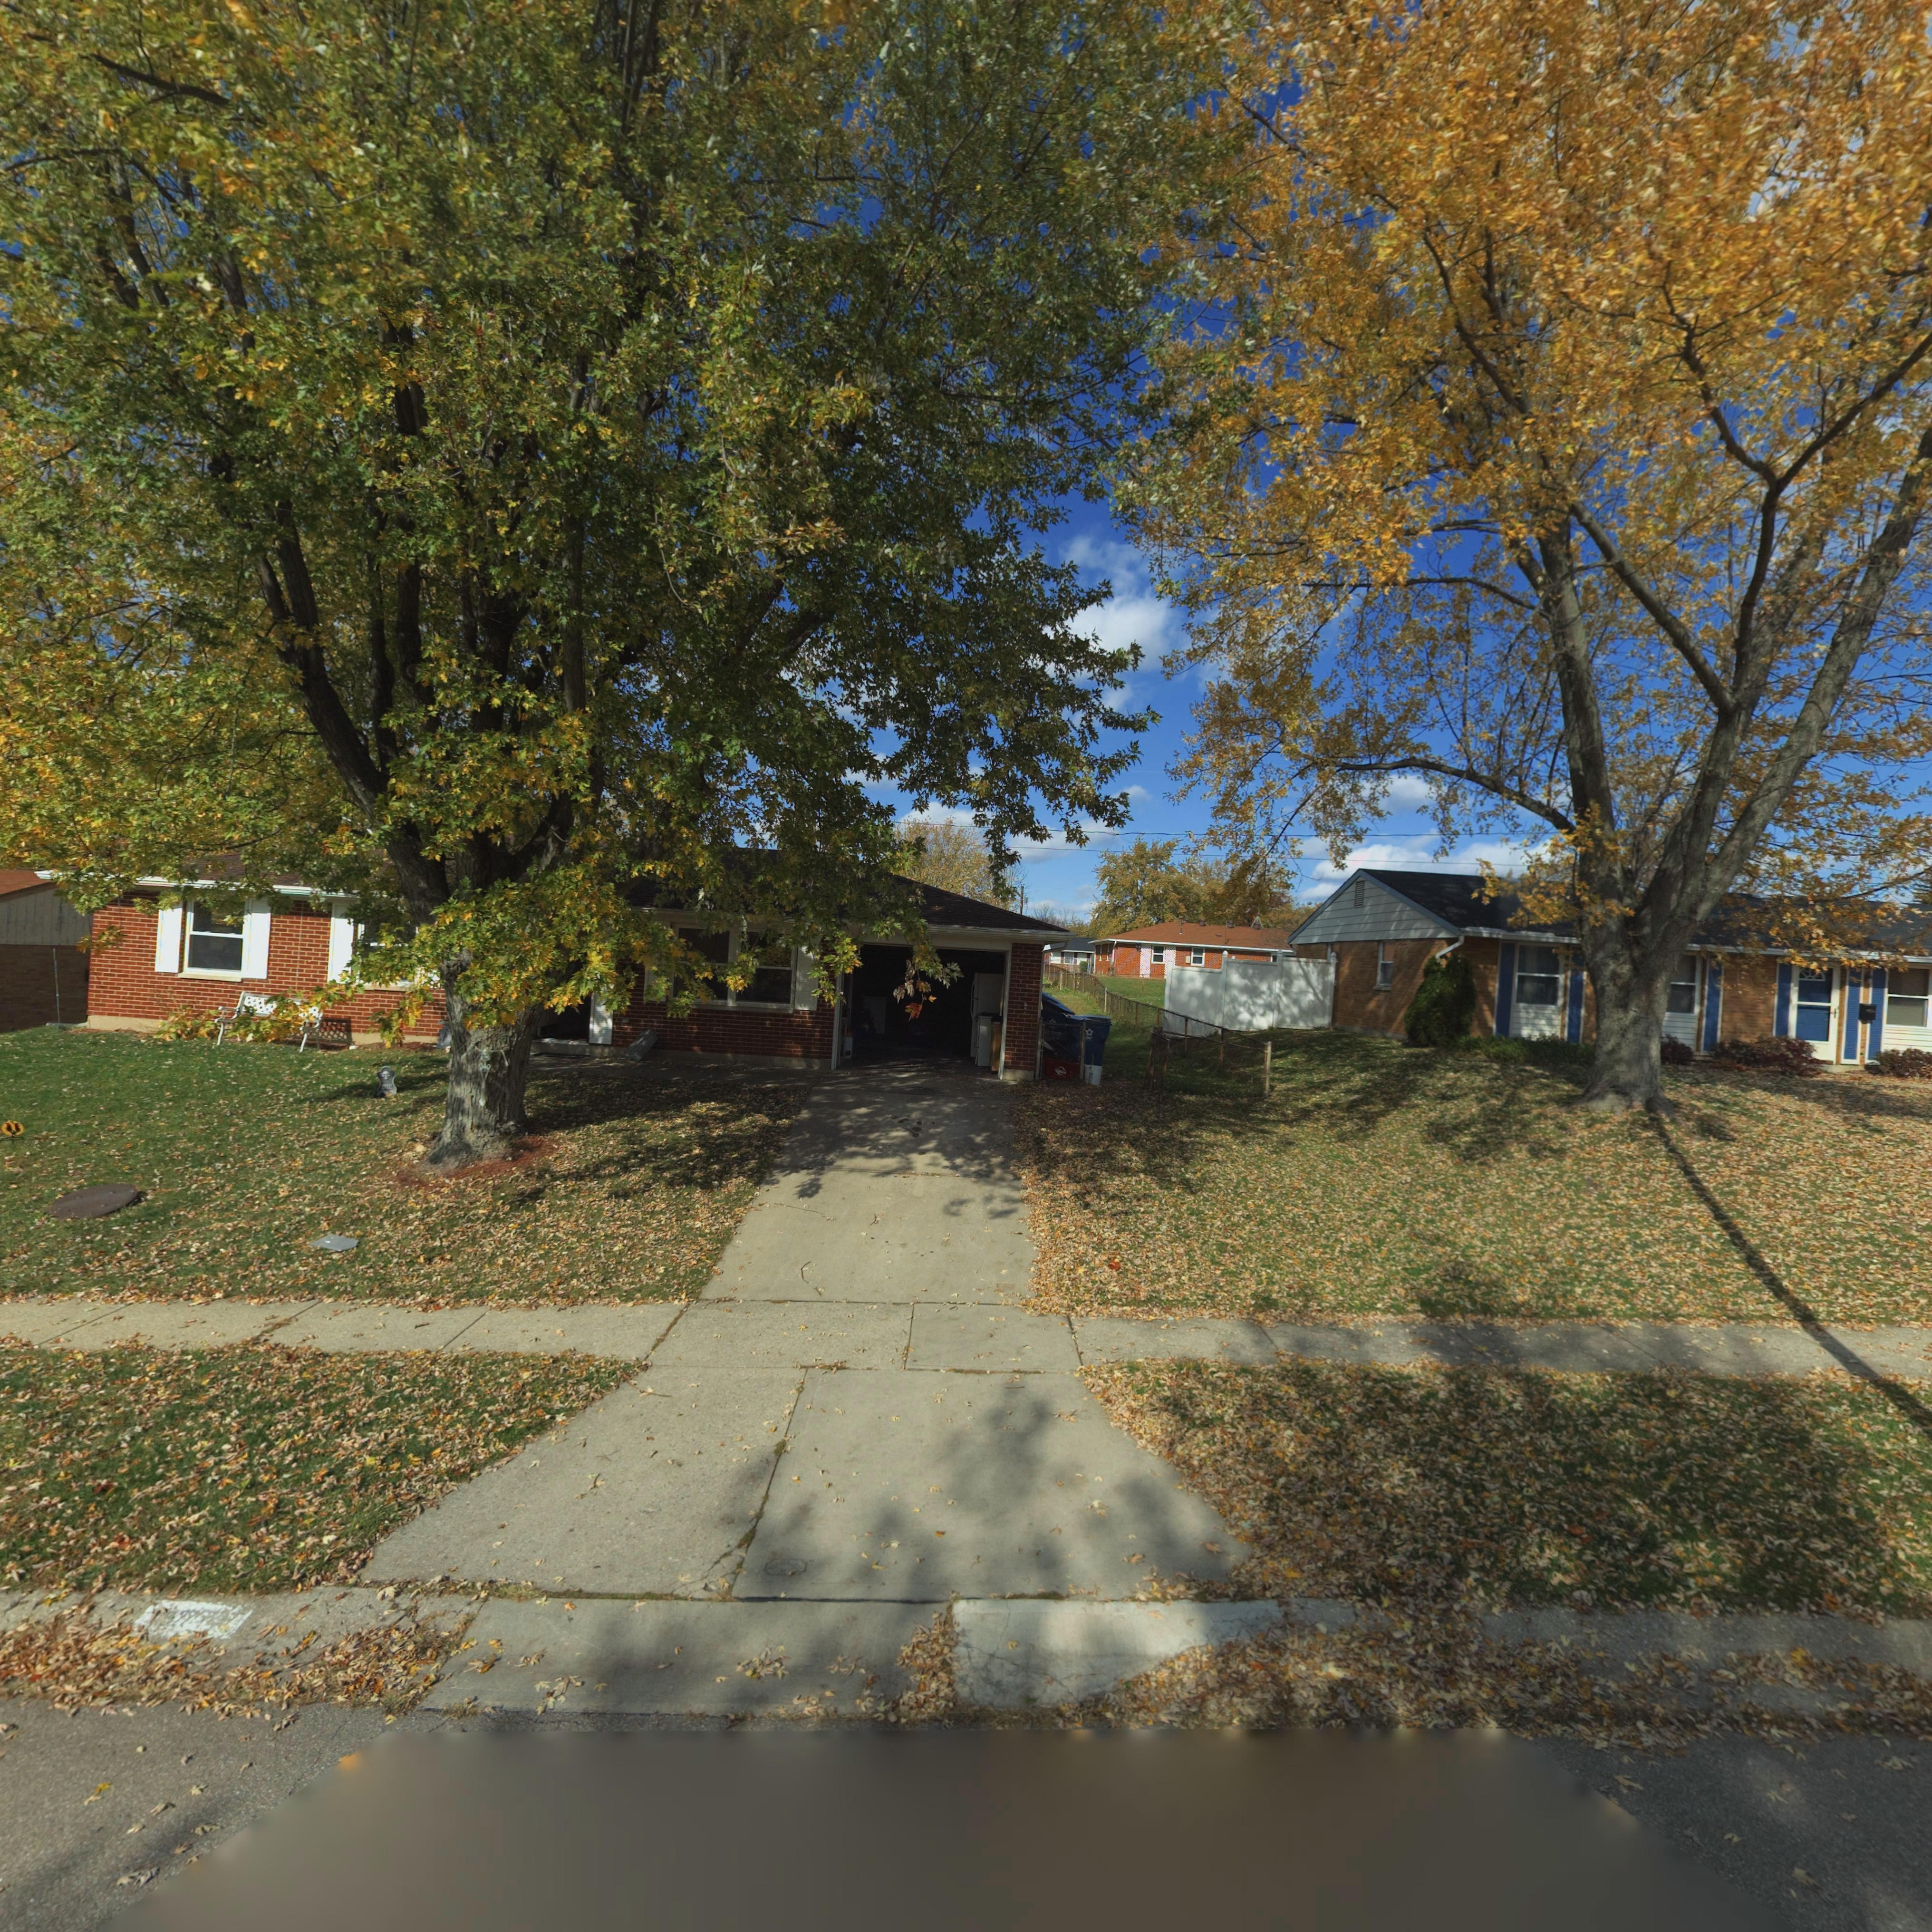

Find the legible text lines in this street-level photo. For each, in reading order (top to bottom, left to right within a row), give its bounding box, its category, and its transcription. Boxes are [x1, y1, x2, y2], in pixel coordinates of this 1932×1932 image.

[168, 1608, 203, 1628] StreetNumber: 77